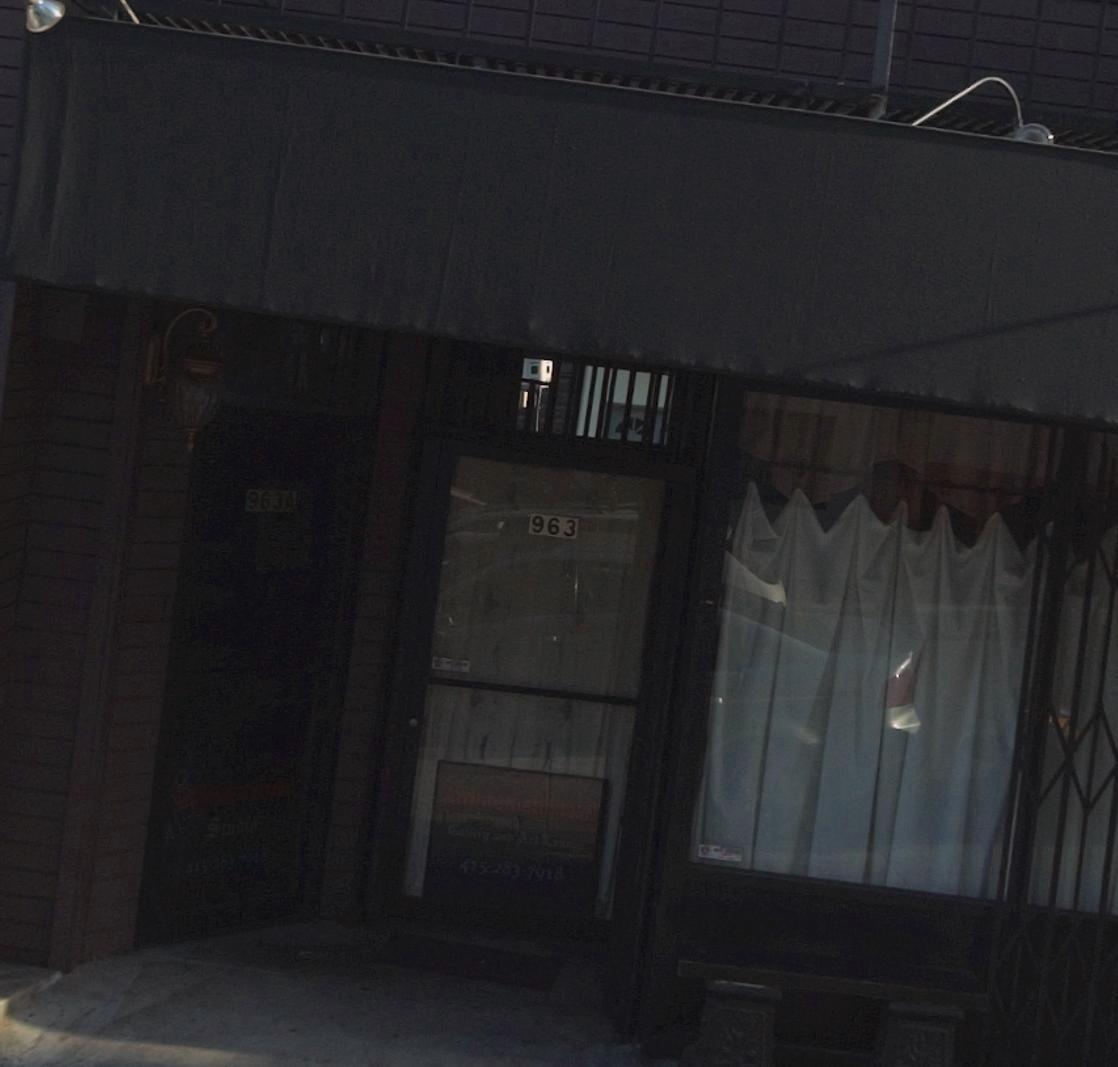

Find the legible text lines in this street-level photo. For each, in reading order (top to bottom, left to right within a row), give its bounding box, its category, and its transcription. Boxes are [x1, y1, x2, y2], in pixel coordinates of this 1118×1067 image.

[246, 489, 297, 513] StreetNumber: 963A
[528, 514, 579, 538] StreetNumber: 963
[455, 856, 565, 887] None: 415-283-7918